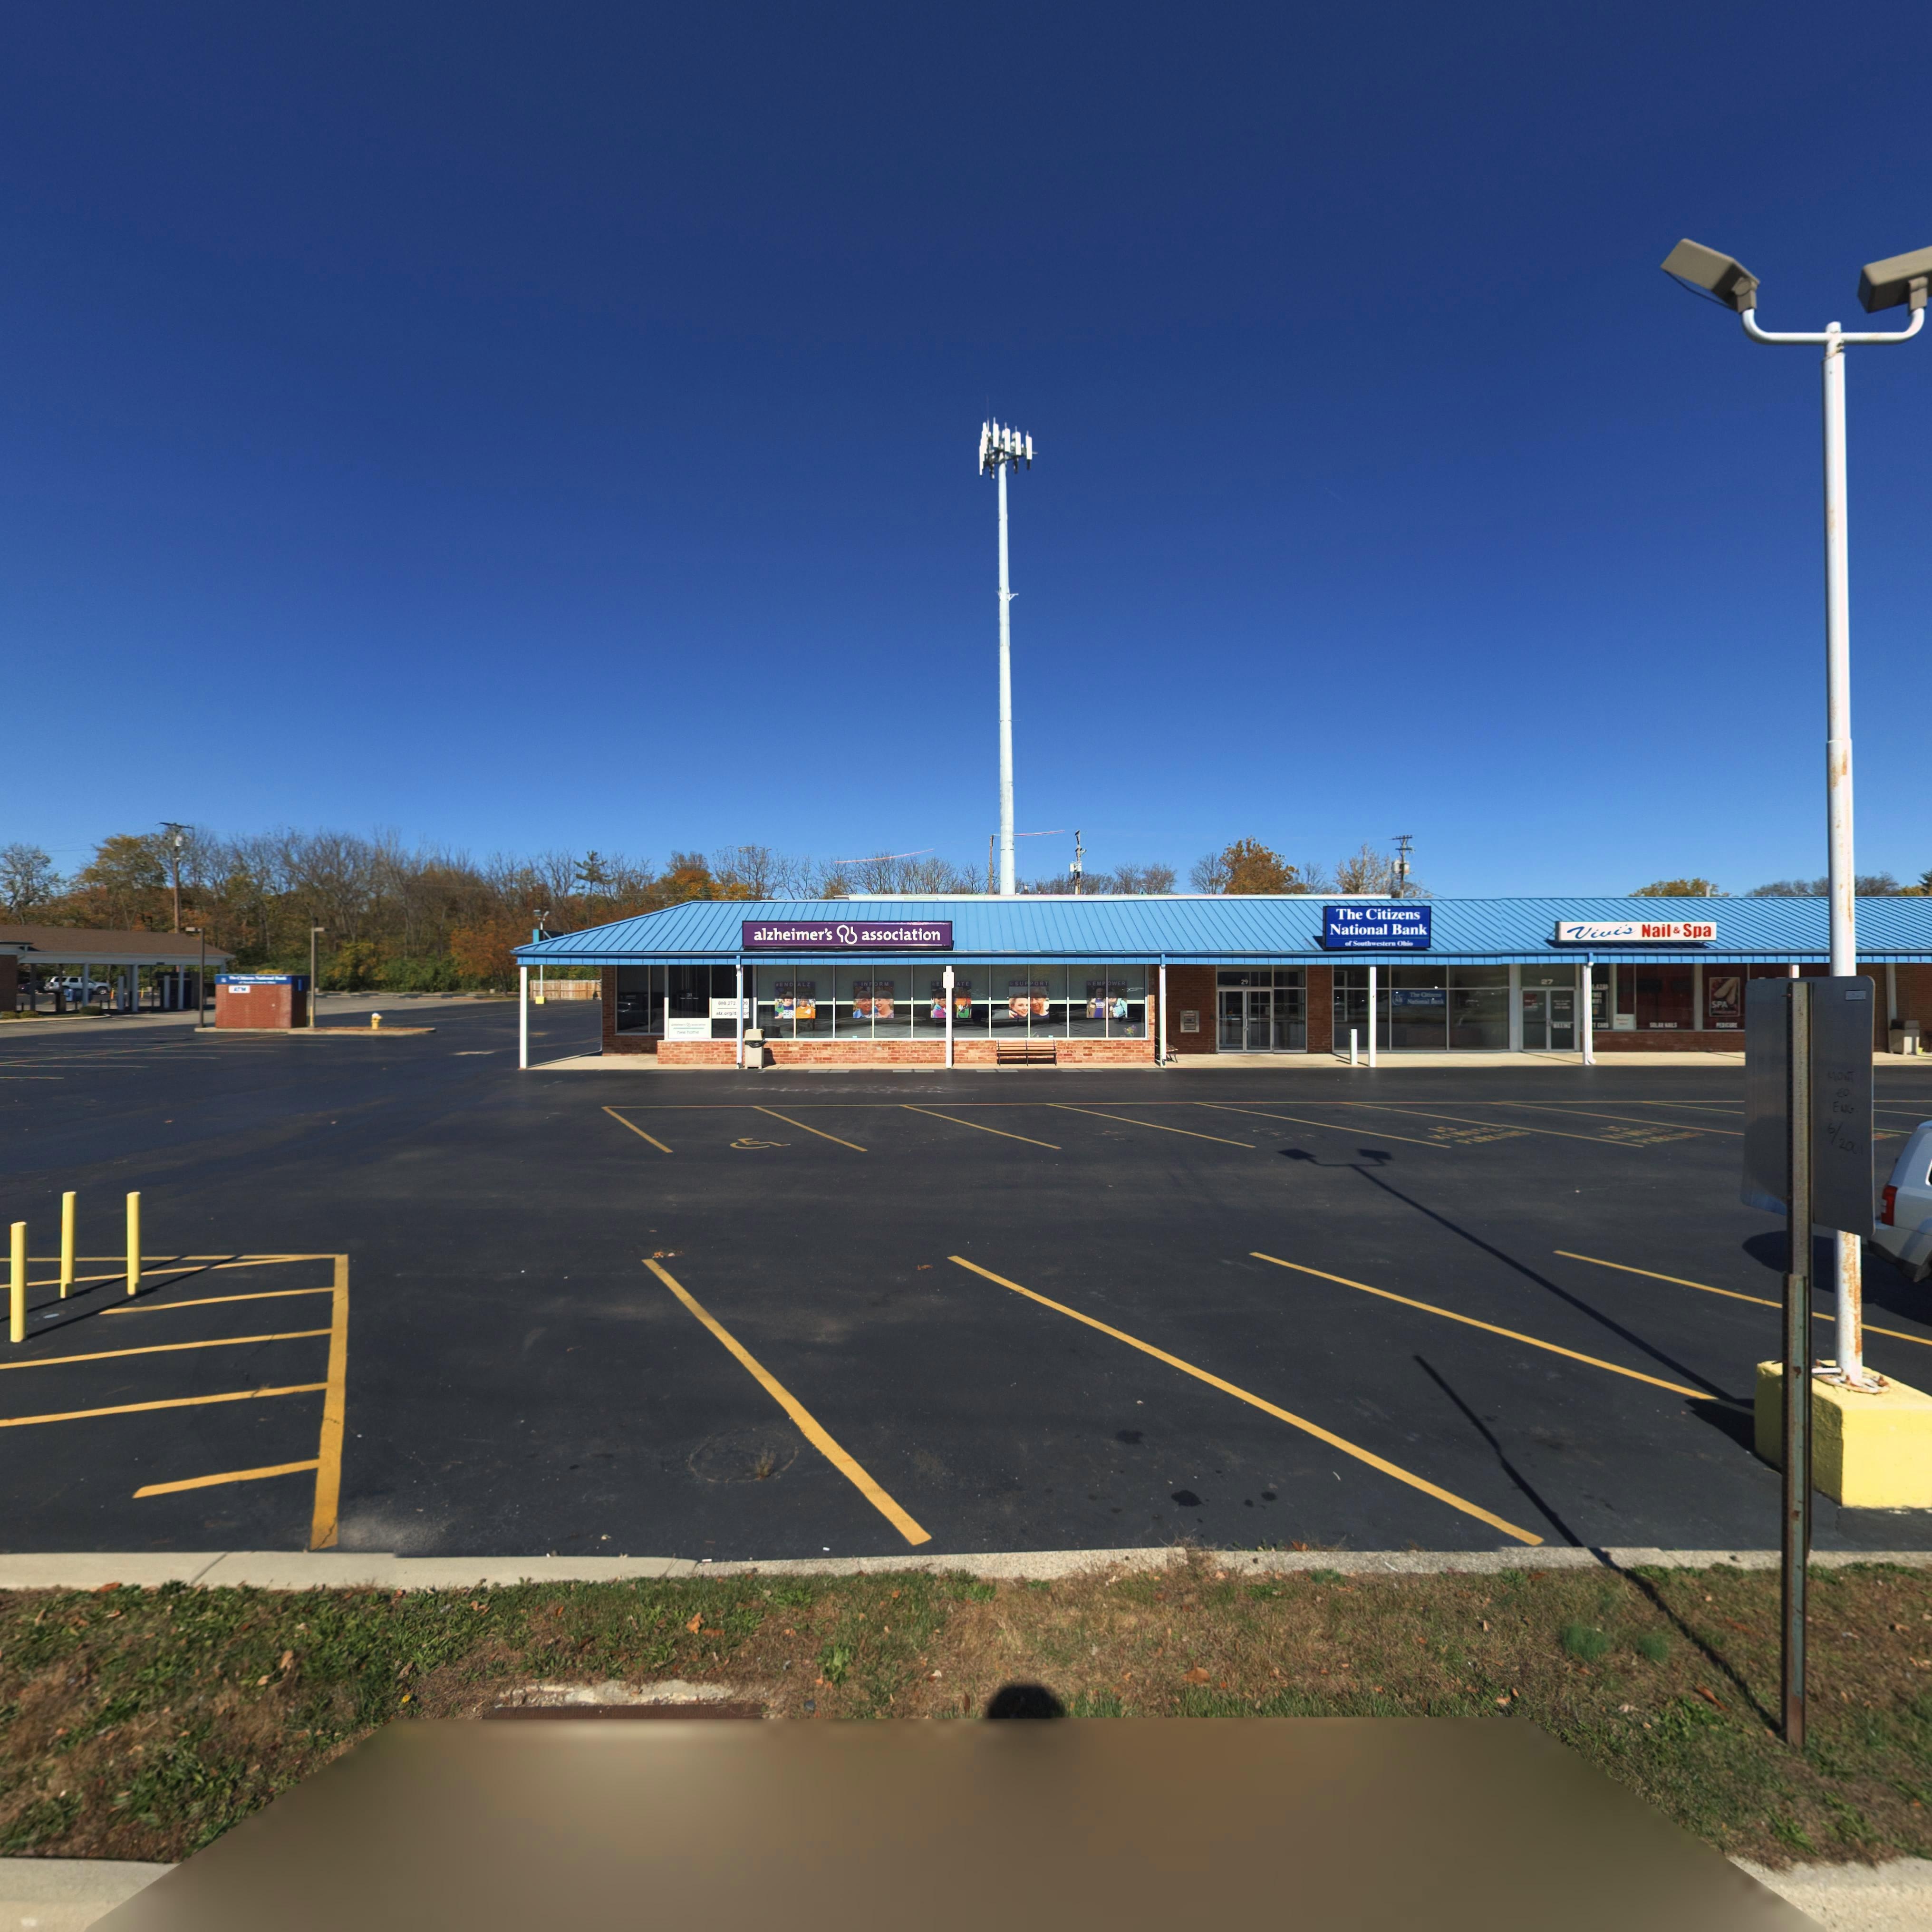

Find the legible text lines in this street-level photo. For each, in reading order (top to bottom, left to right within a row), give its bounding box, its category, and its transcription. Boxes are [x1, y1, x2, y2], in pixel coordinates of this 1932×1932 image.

[1334, 908, 1421, 920] BusinessName: The Citizens
[753, 927, 941, 942] BusinessName: alzheimer's * association
[1329, 923, 1428, 936] BusinessName: National Bank
[1564, 923, 1712, 939] BusinessName: Vivi's Nail & Spa
[1344, 939, 1414, 947] BusinessName: of Southwestern Ohio
[779, 982, 811, 987] None: END*ALZ
[860, 981, 889, 987] None: INFORM
[936, 981, 970, 987] None: E***ATE
[1014, 981, 1049, 986] None: SUPPORT
[1092, 981, 1126, 986] None: EMPOWER
[1240, 978, 1249, 985] StreetNumber: 29
[1540, 978, 1555, 986] StreetNumber: 27
[232, 986, 247, 992] None: ATM
[686, 992, 693, 998] StreetNumber: 31
[1394, 994, 1403, 999] None: TC
[1408, 992, 1442, 998] BusinessName: The Citizens
[1394, 998, 1403, 1003] None: NB
[1406, 998, 1445, 1005] BusinessName: National Bank
[1710, 1000, 1729, 1009] None: SPA
[1552, 1022, 1571, 1029] None: WAXING
[1596, 1022, 1609, 1029] None: CARD
[1648, 1022, 1678, 1029] None: **LAR ***LS
[1716, 1022, 1738, 1029] None: PEDICURE
[1425, 1126, 1507, 1140] None: MINUTE
[1597, 1126, 1675, 1140] None: MINUTE
[1452, 1133, 1507, 1146] None: PARK
[1628, 1133, 1686, 1145] None: PARK